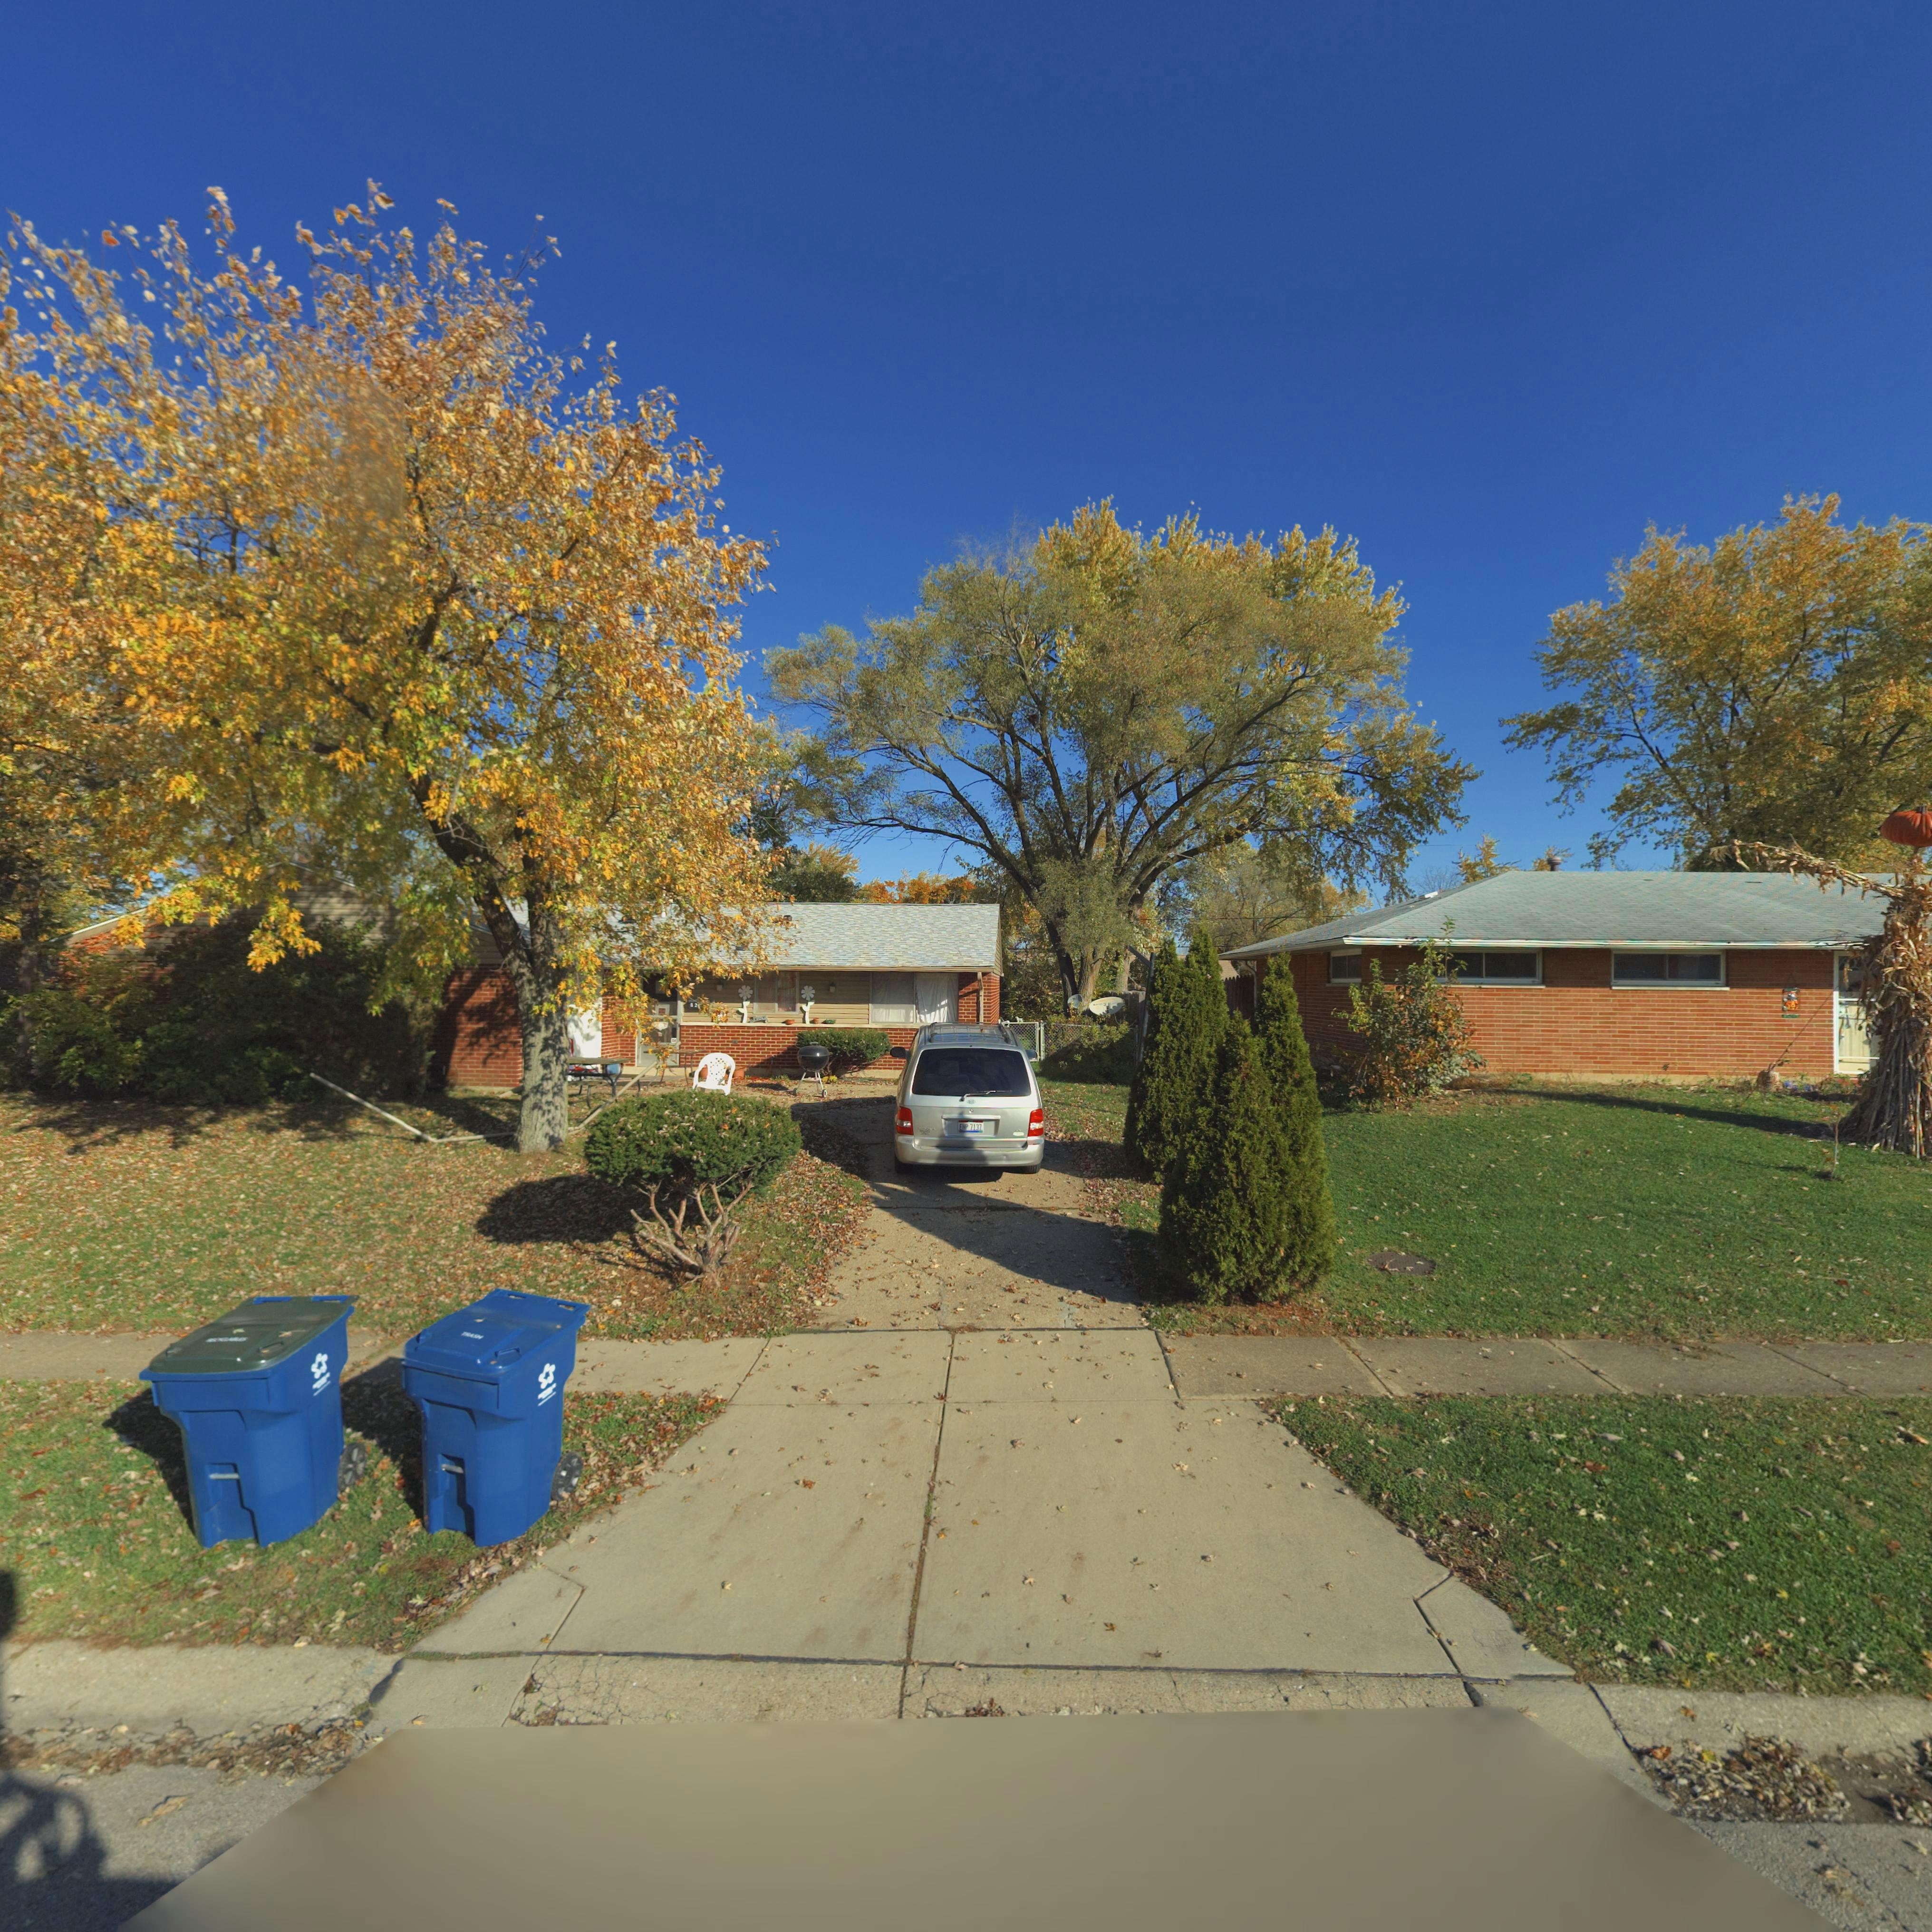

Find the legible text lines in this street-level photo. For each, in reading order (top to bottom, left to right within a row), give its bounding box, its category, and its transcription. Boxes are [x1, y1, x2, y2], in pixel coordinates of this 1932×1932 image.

[689, 1002, 698, 1008] StreetNumber: 62